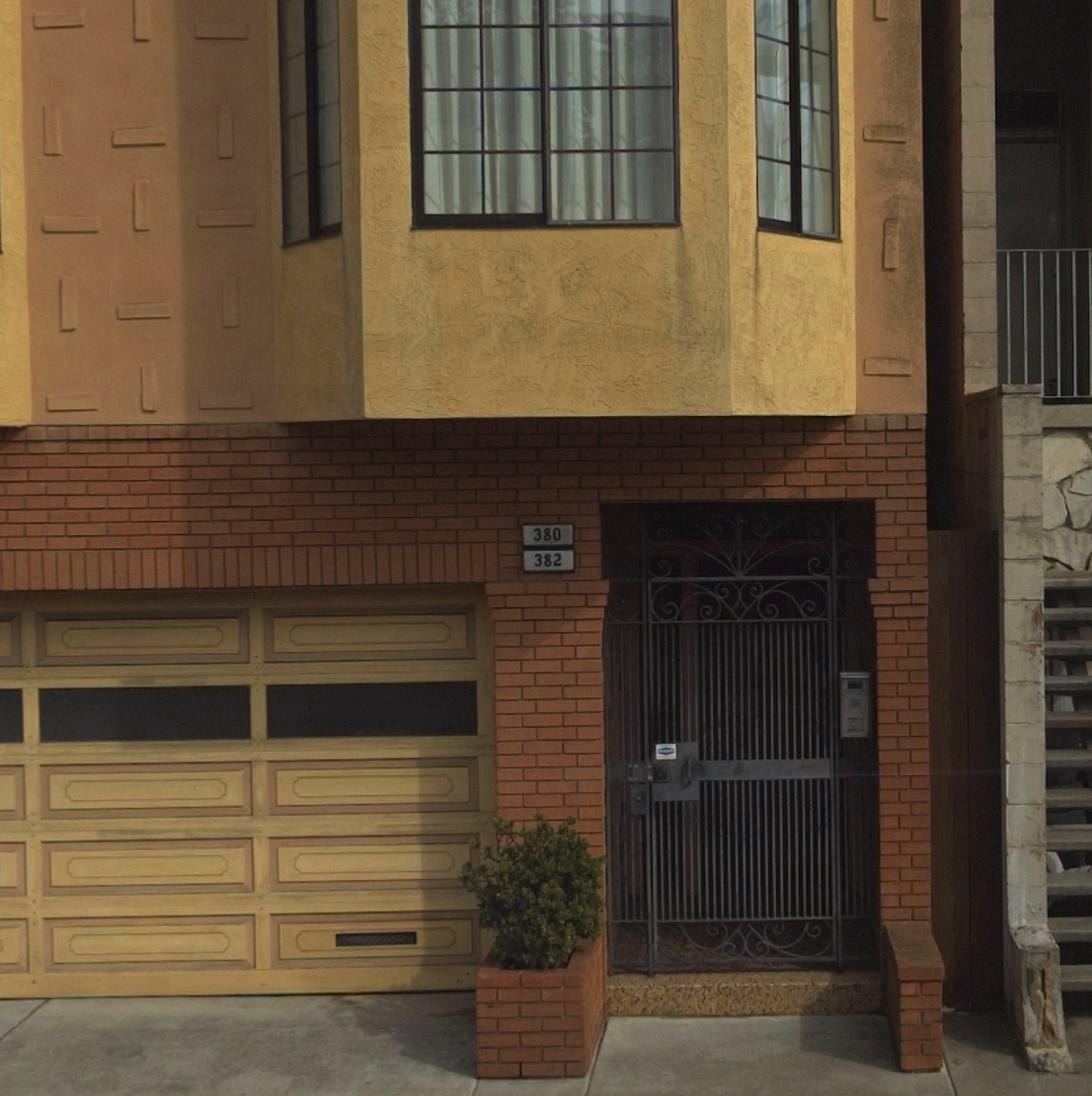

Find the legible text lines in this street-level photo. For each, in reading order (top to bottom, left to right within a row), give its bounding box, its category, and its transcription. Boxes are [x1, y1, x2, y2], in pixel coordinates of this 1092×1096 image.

[533, 526, 562, 542] StreetNumber: 380
[533, 552, 564, 568] StreetNumber: 382